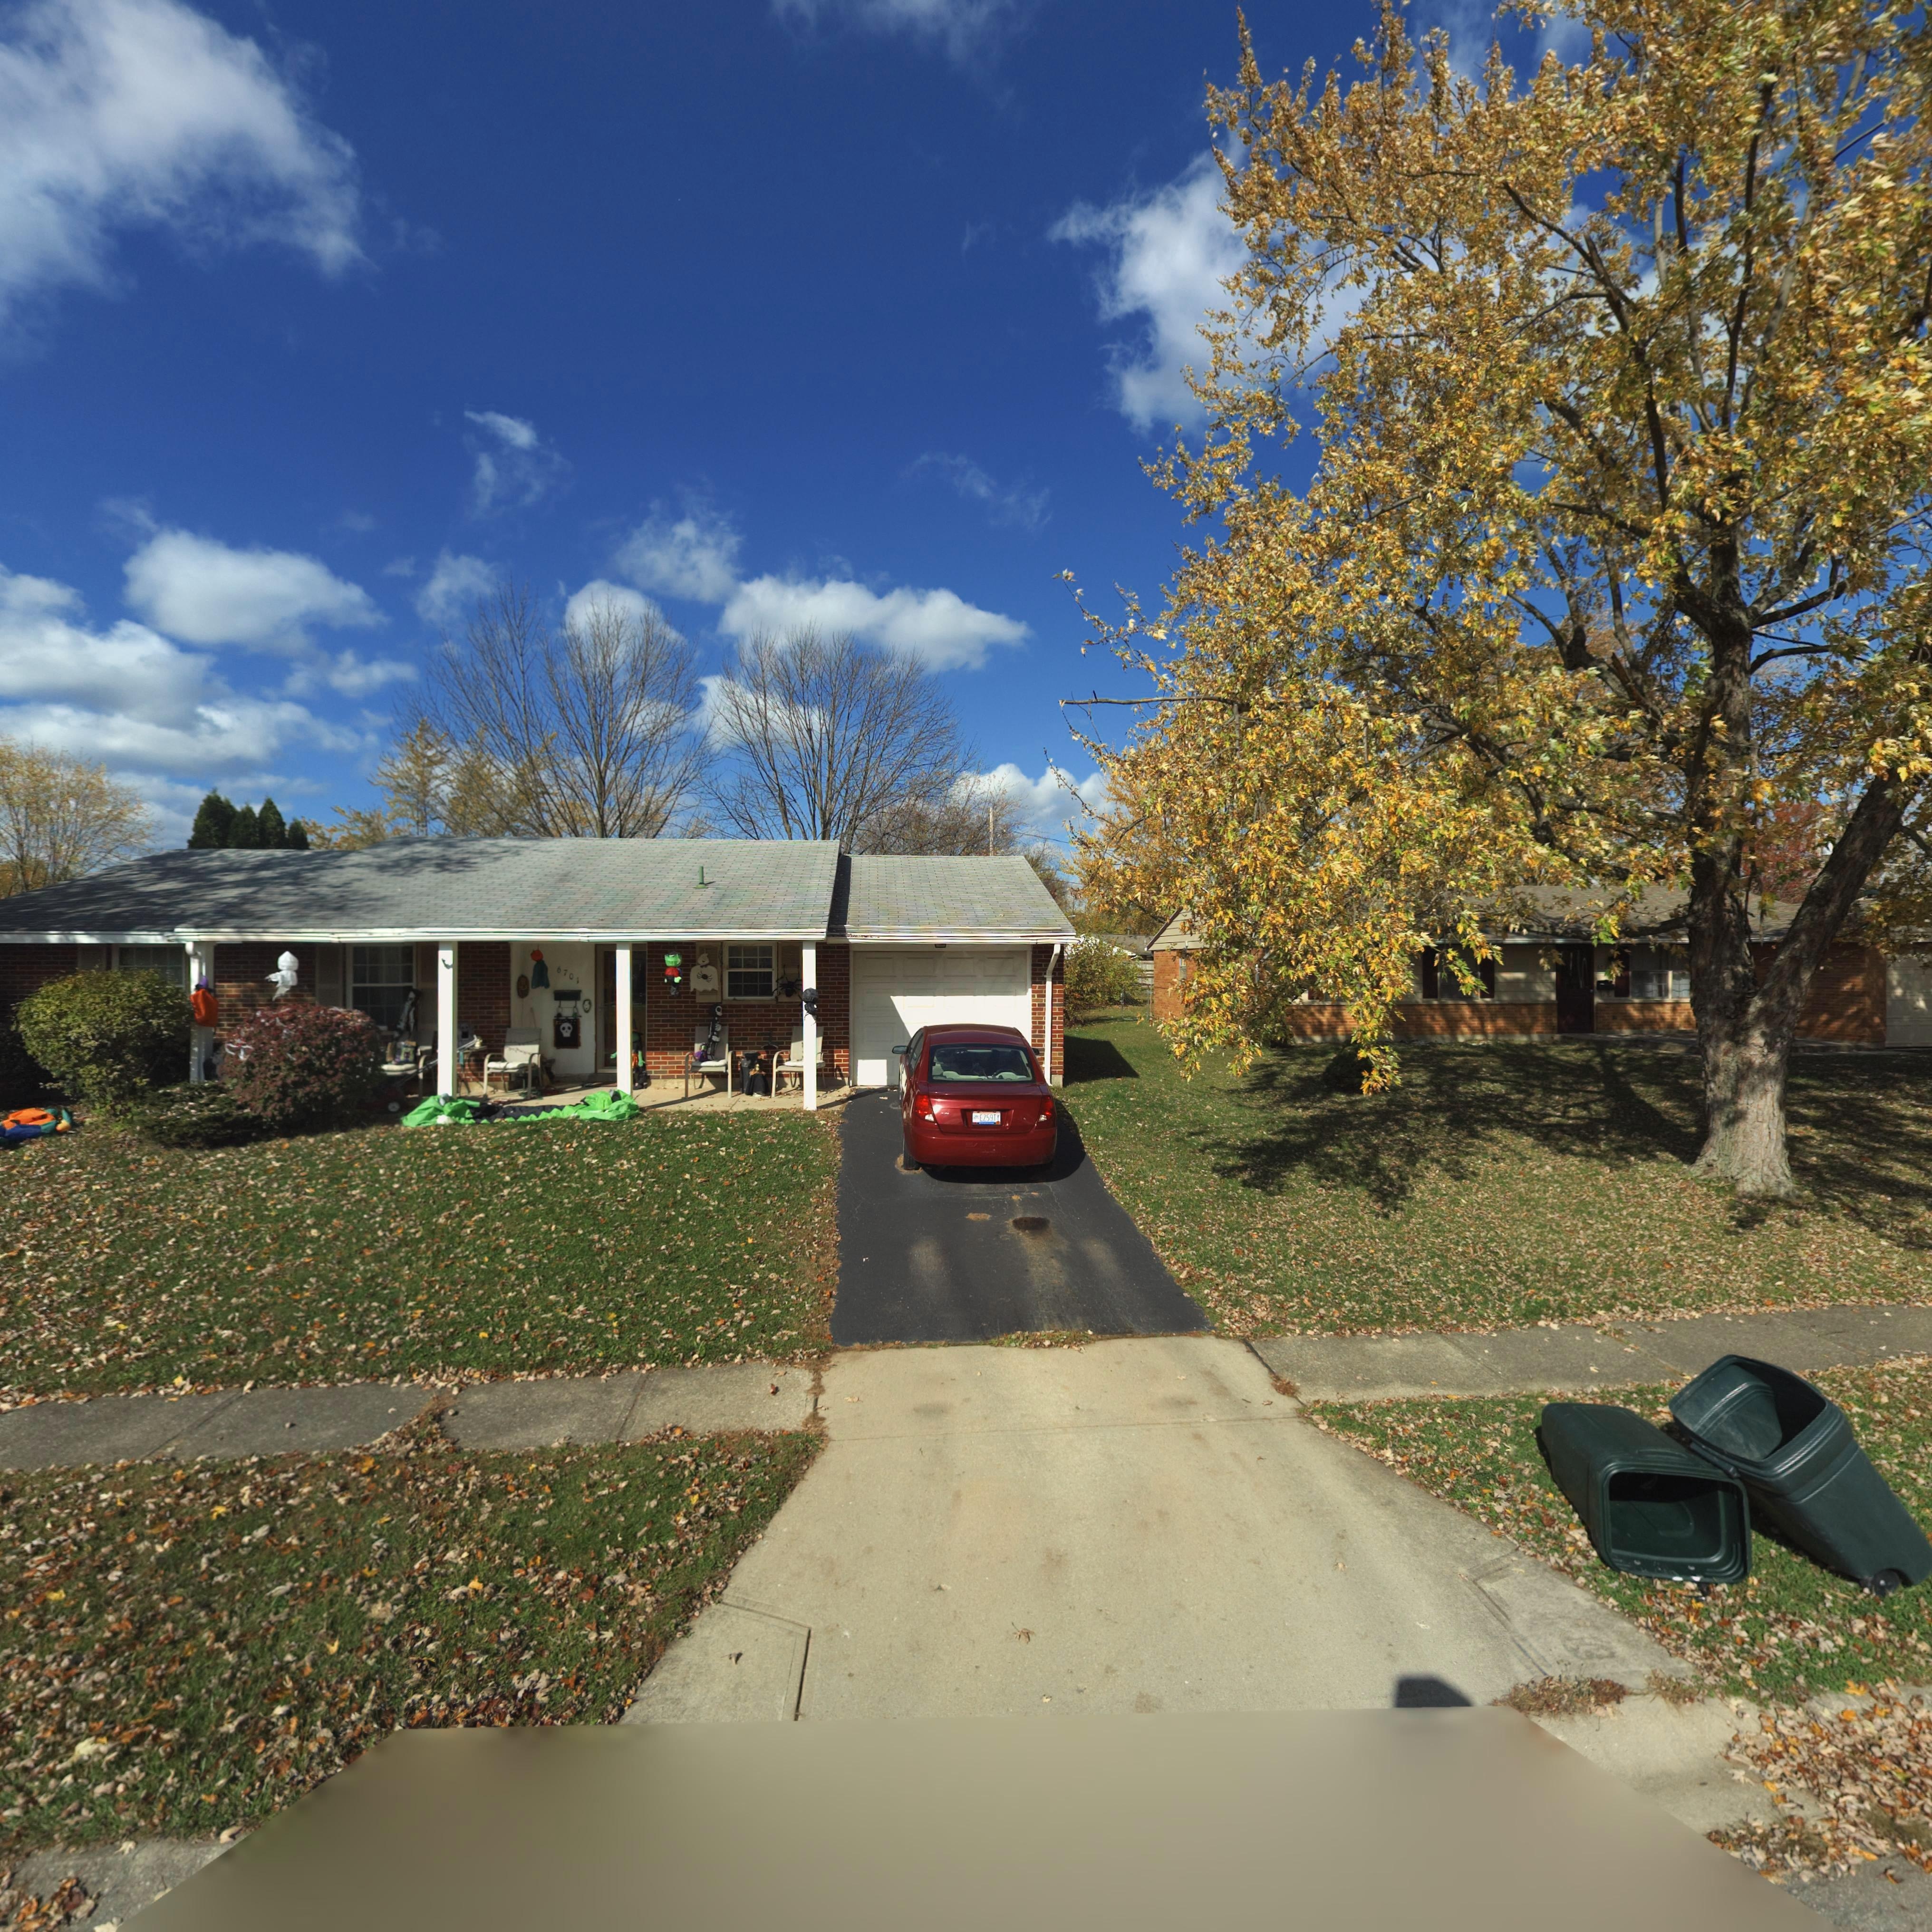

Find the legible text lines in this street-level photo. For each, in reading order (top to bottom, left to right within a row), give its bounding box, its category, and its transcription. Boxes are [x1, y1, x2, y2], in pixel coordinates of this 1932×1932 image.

[556, 964, 580, 985] StreetNumber: 6701
[1596, 965, 1604, 970] StreetNumber: 67